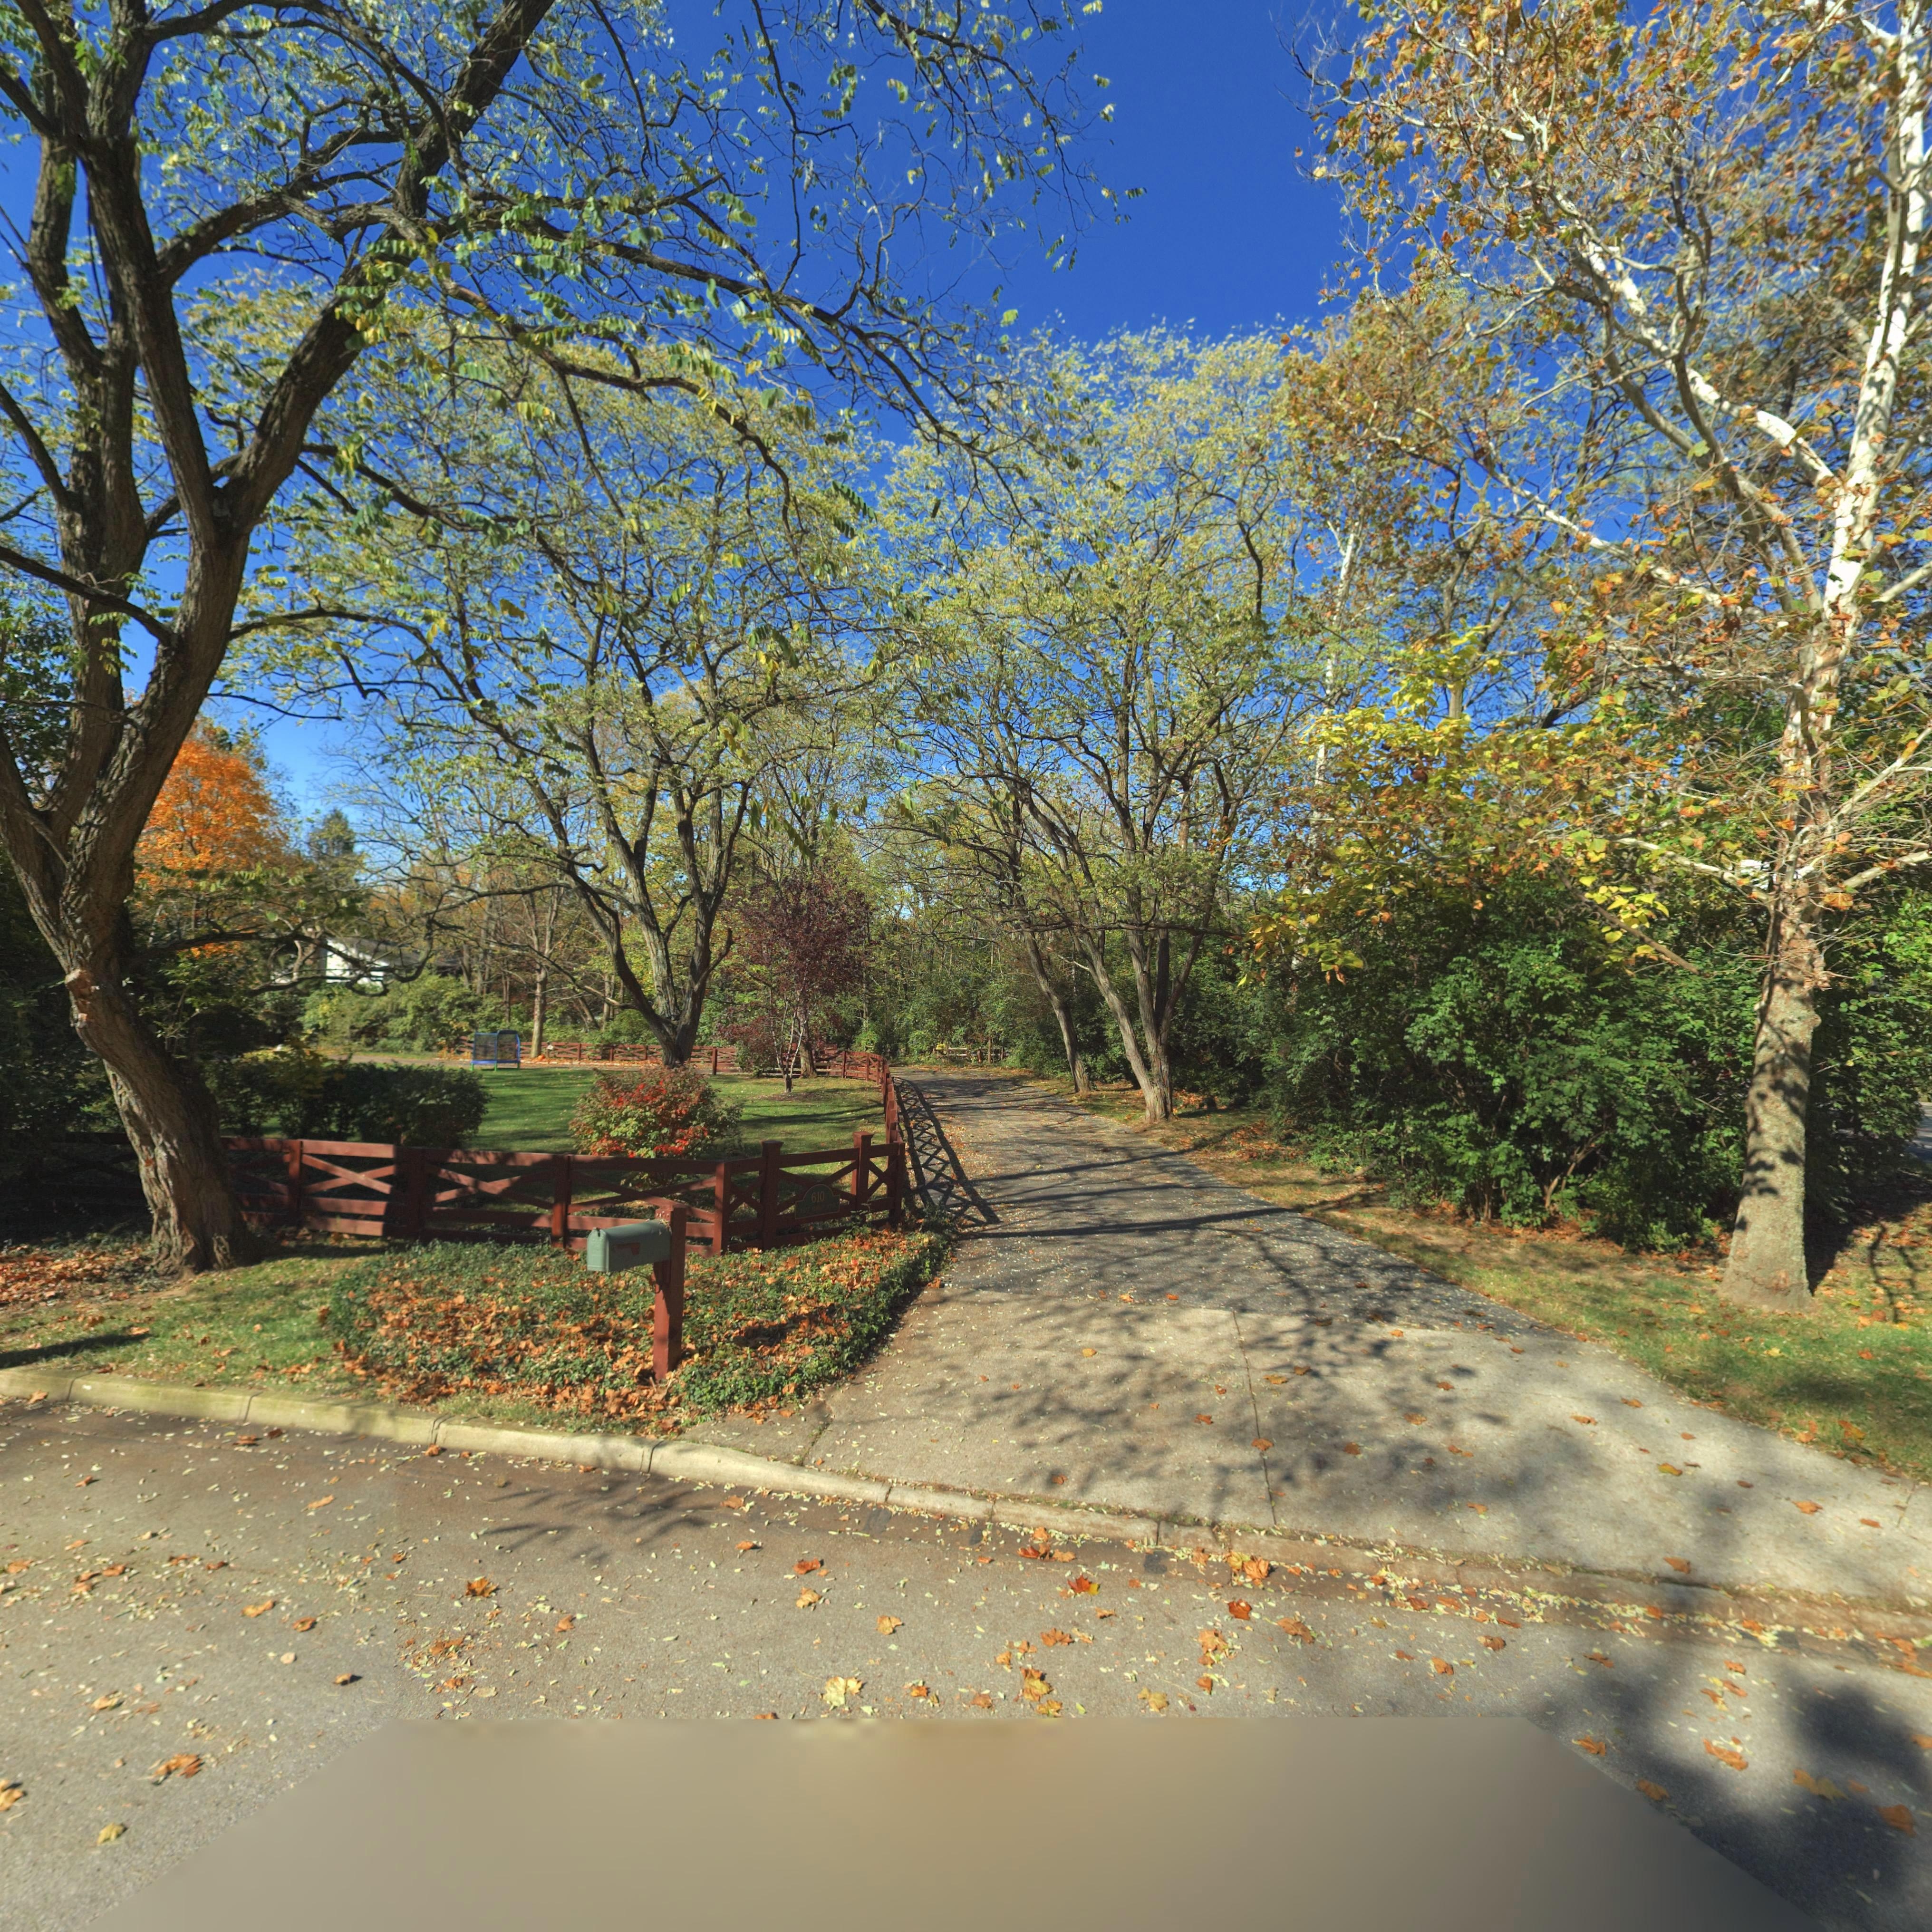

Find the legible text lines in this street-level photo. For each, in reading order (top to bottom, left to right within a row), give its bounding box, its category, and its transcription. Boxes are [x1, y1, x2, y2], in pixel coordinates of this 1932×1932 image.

[811, 1189, 826, 1205] StreetNumber: 610